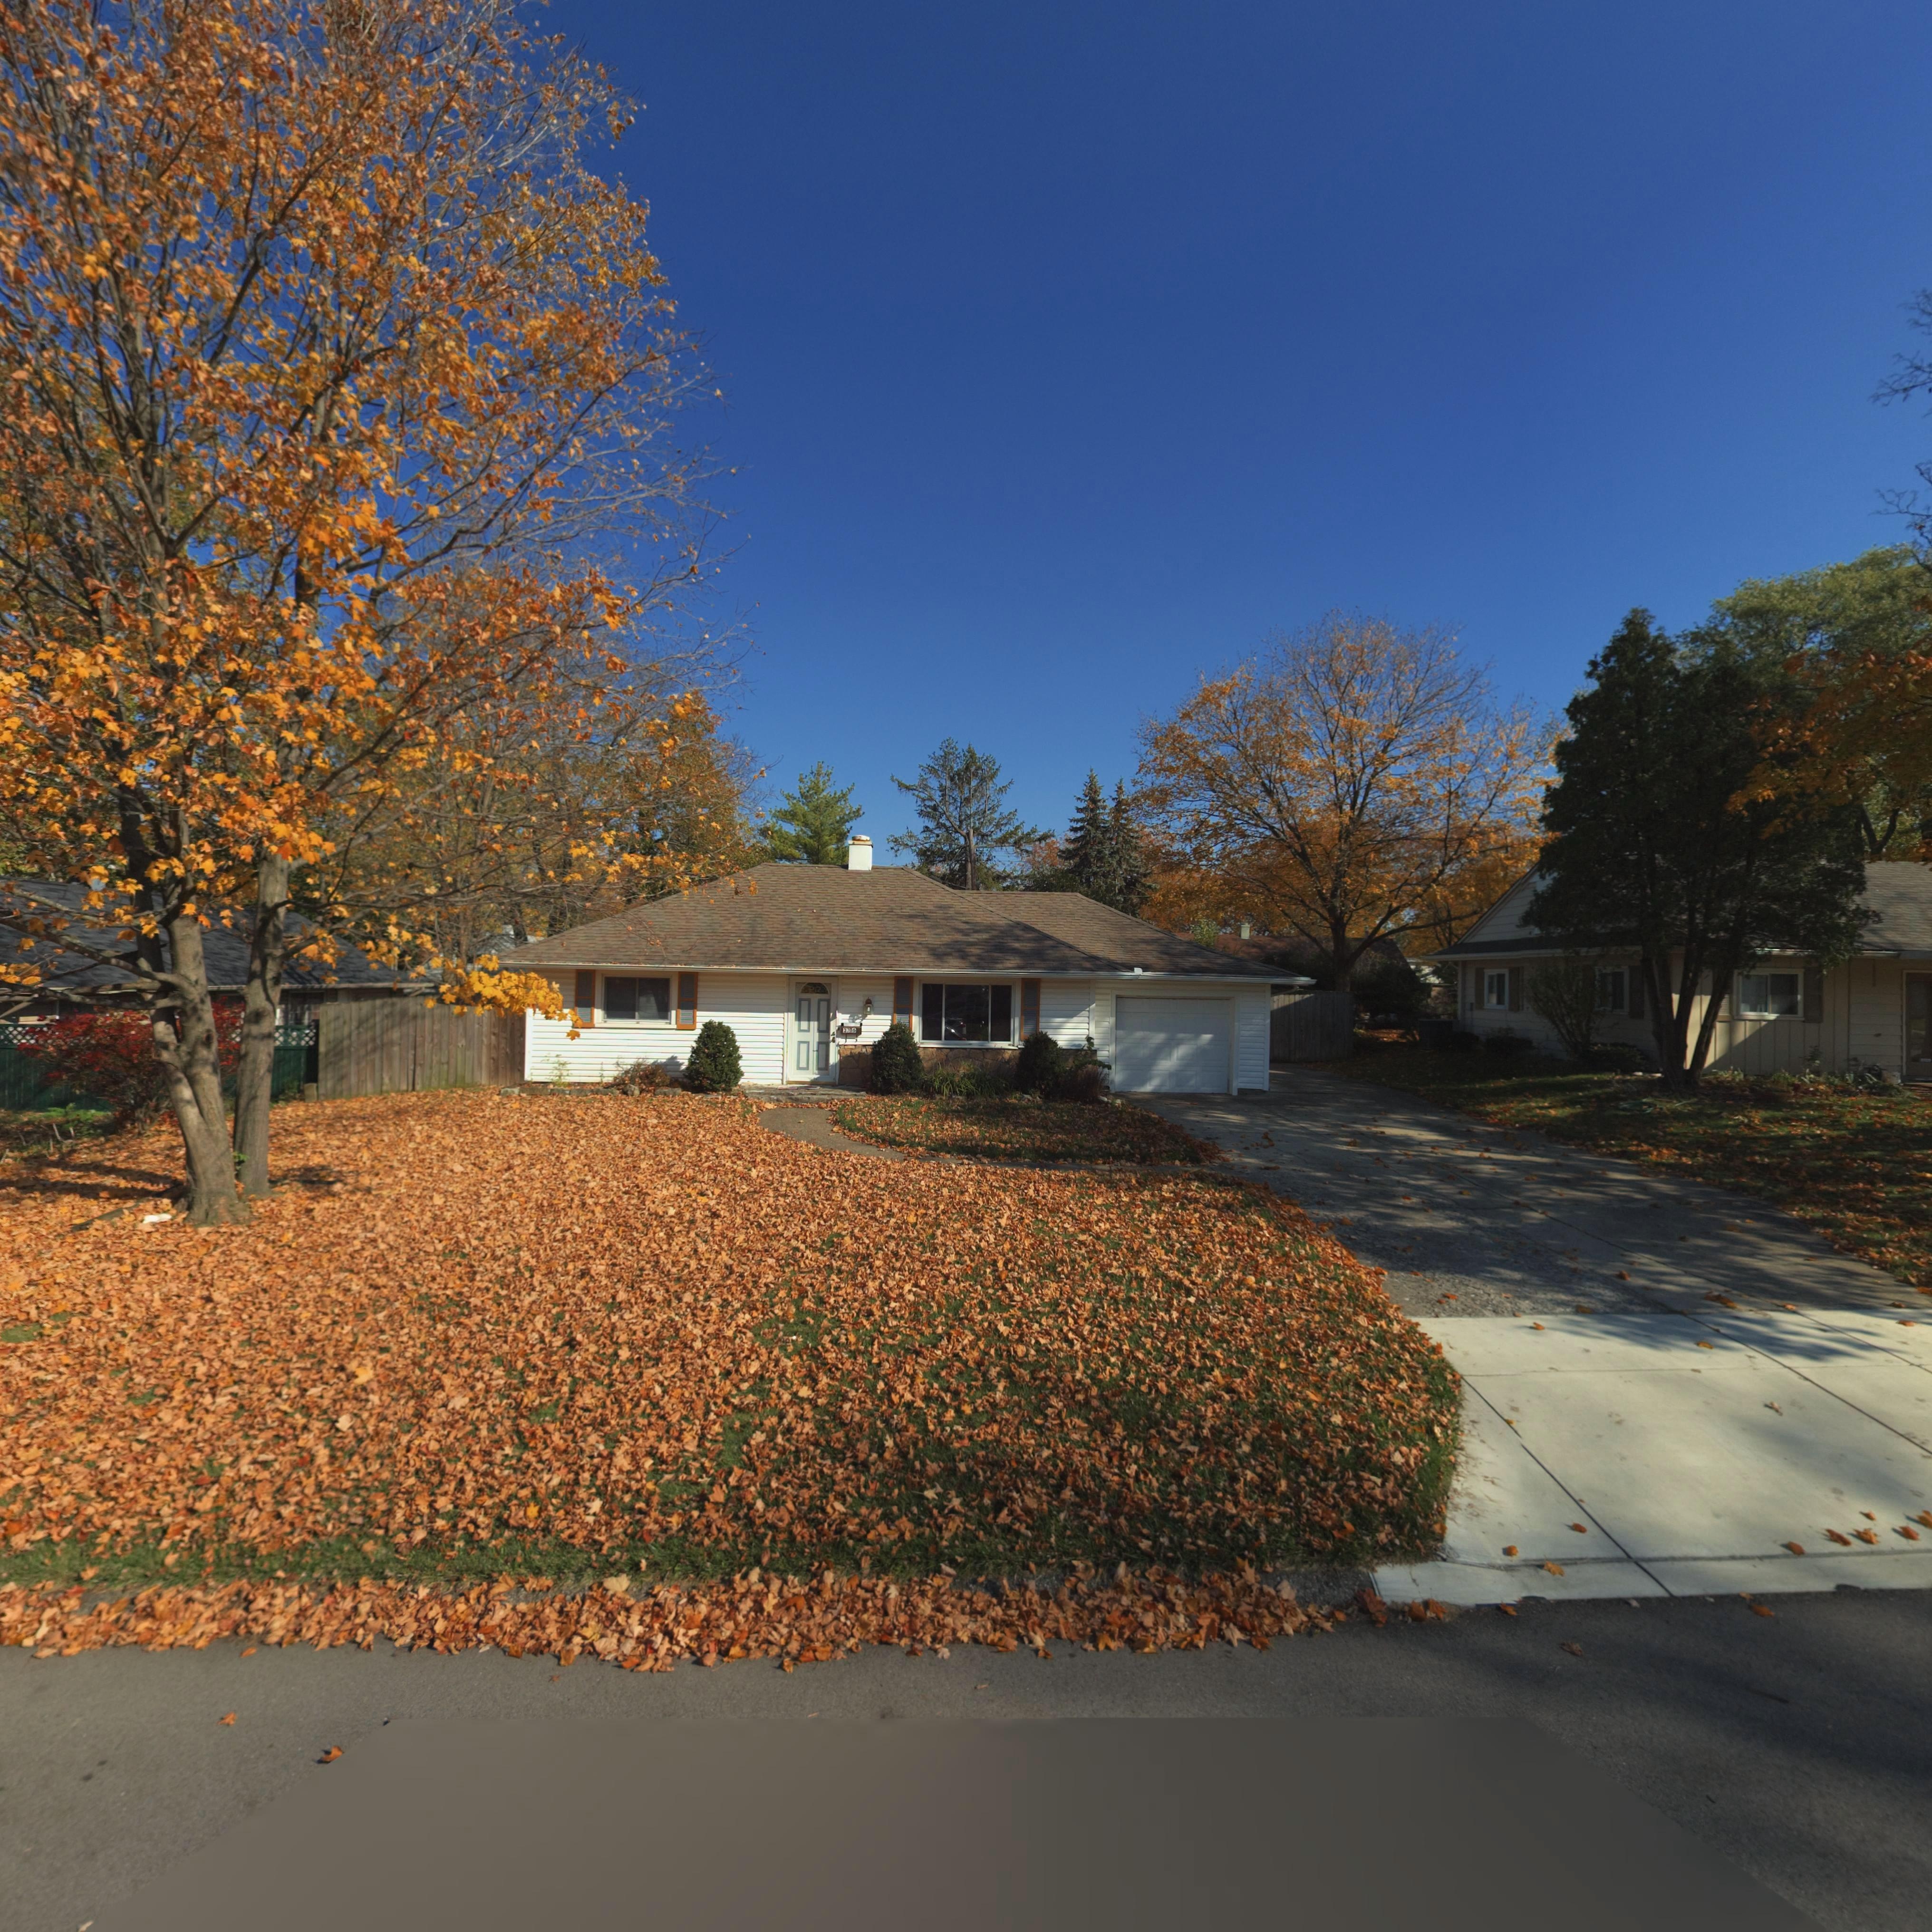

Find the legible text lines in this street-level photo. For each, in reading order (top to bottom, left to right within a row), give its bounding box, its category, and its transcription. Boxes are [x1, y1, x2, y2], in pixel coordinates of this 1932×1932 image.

[843, 1028, 856, 1033] StreetNumber: 3706